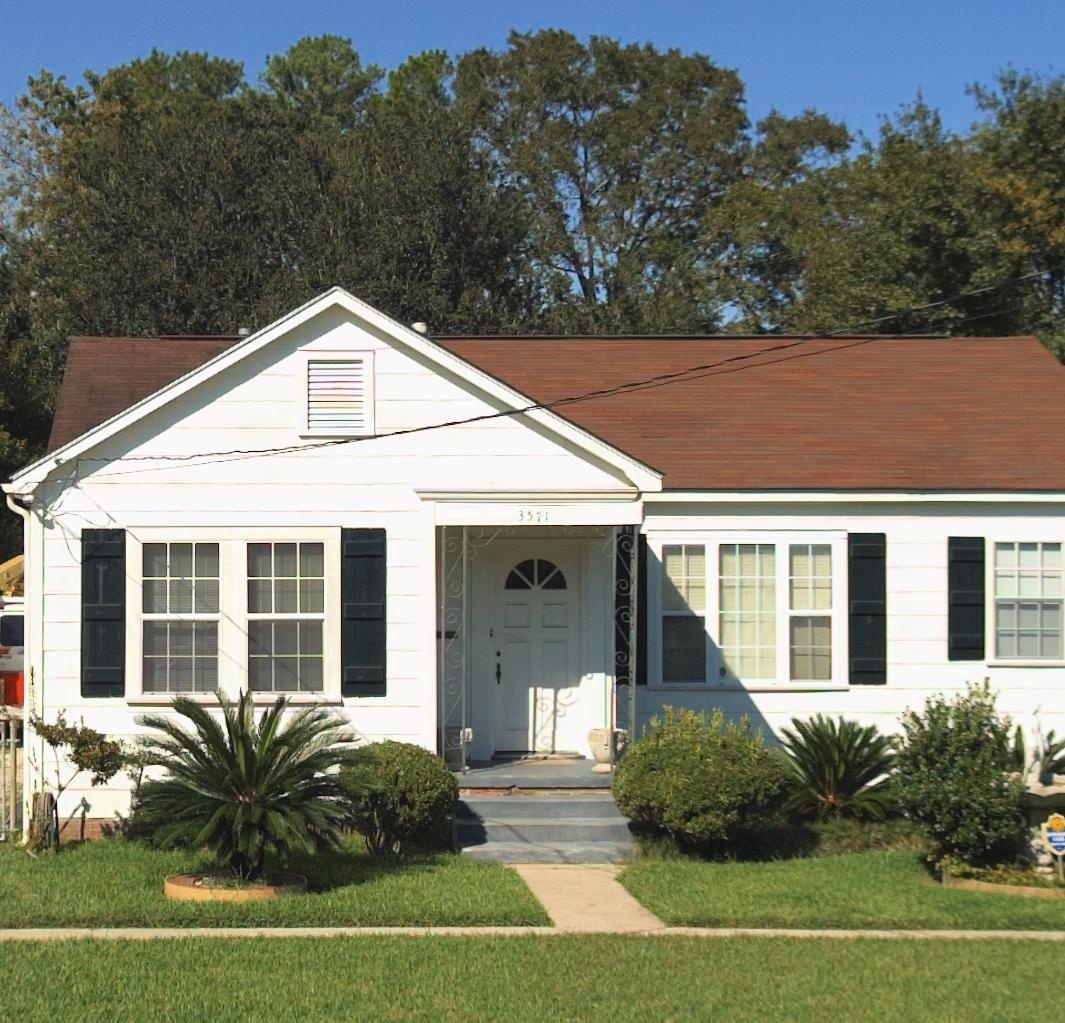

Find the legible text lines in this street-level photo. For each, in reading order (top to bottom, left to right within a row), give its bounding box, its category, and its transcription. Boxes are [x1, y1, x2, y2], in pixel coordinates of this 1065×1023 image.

[516, 508, 550, 524] StreetNumber: 3571